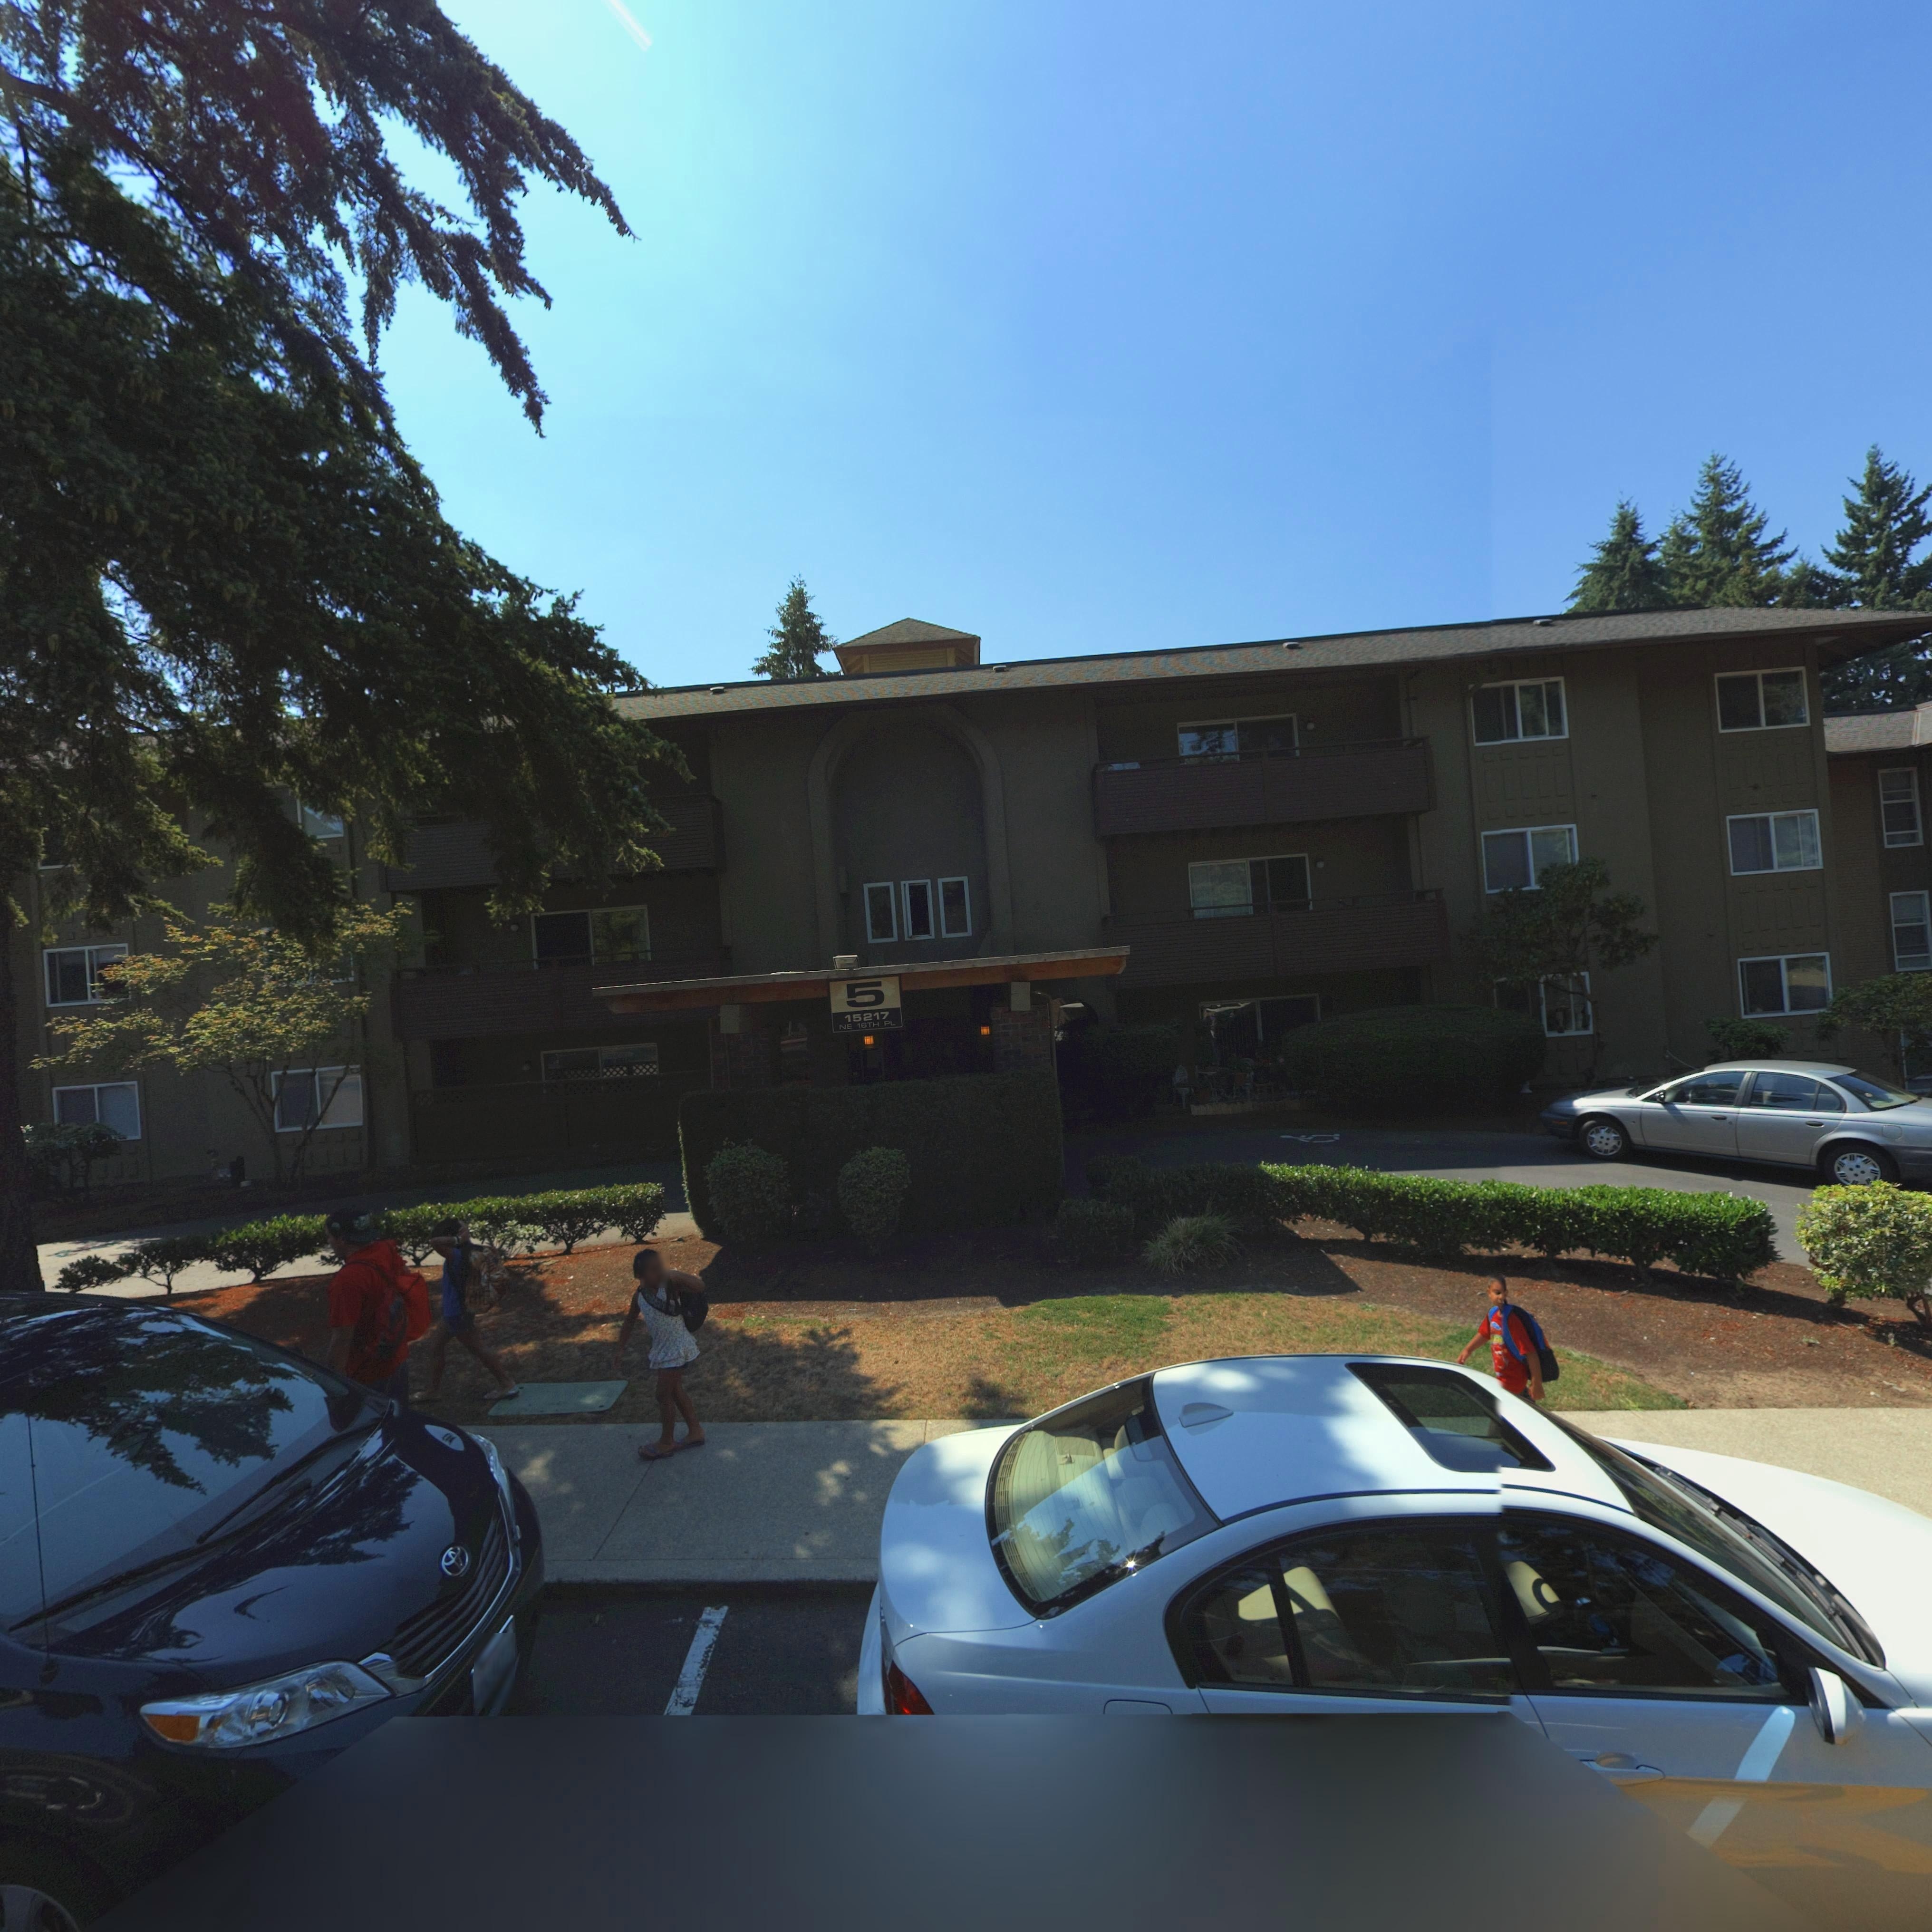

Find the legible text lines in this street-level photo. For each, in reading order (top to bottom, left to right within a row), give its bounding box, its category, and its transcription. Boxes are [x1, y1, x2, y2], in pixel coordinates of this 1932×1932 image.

[843, 979, 886, 1009] None: 5
[845, 1010, 892, 1022] StreetNumber: 15217
[839, 1019, 898, 1030] None: NE 16TH PL